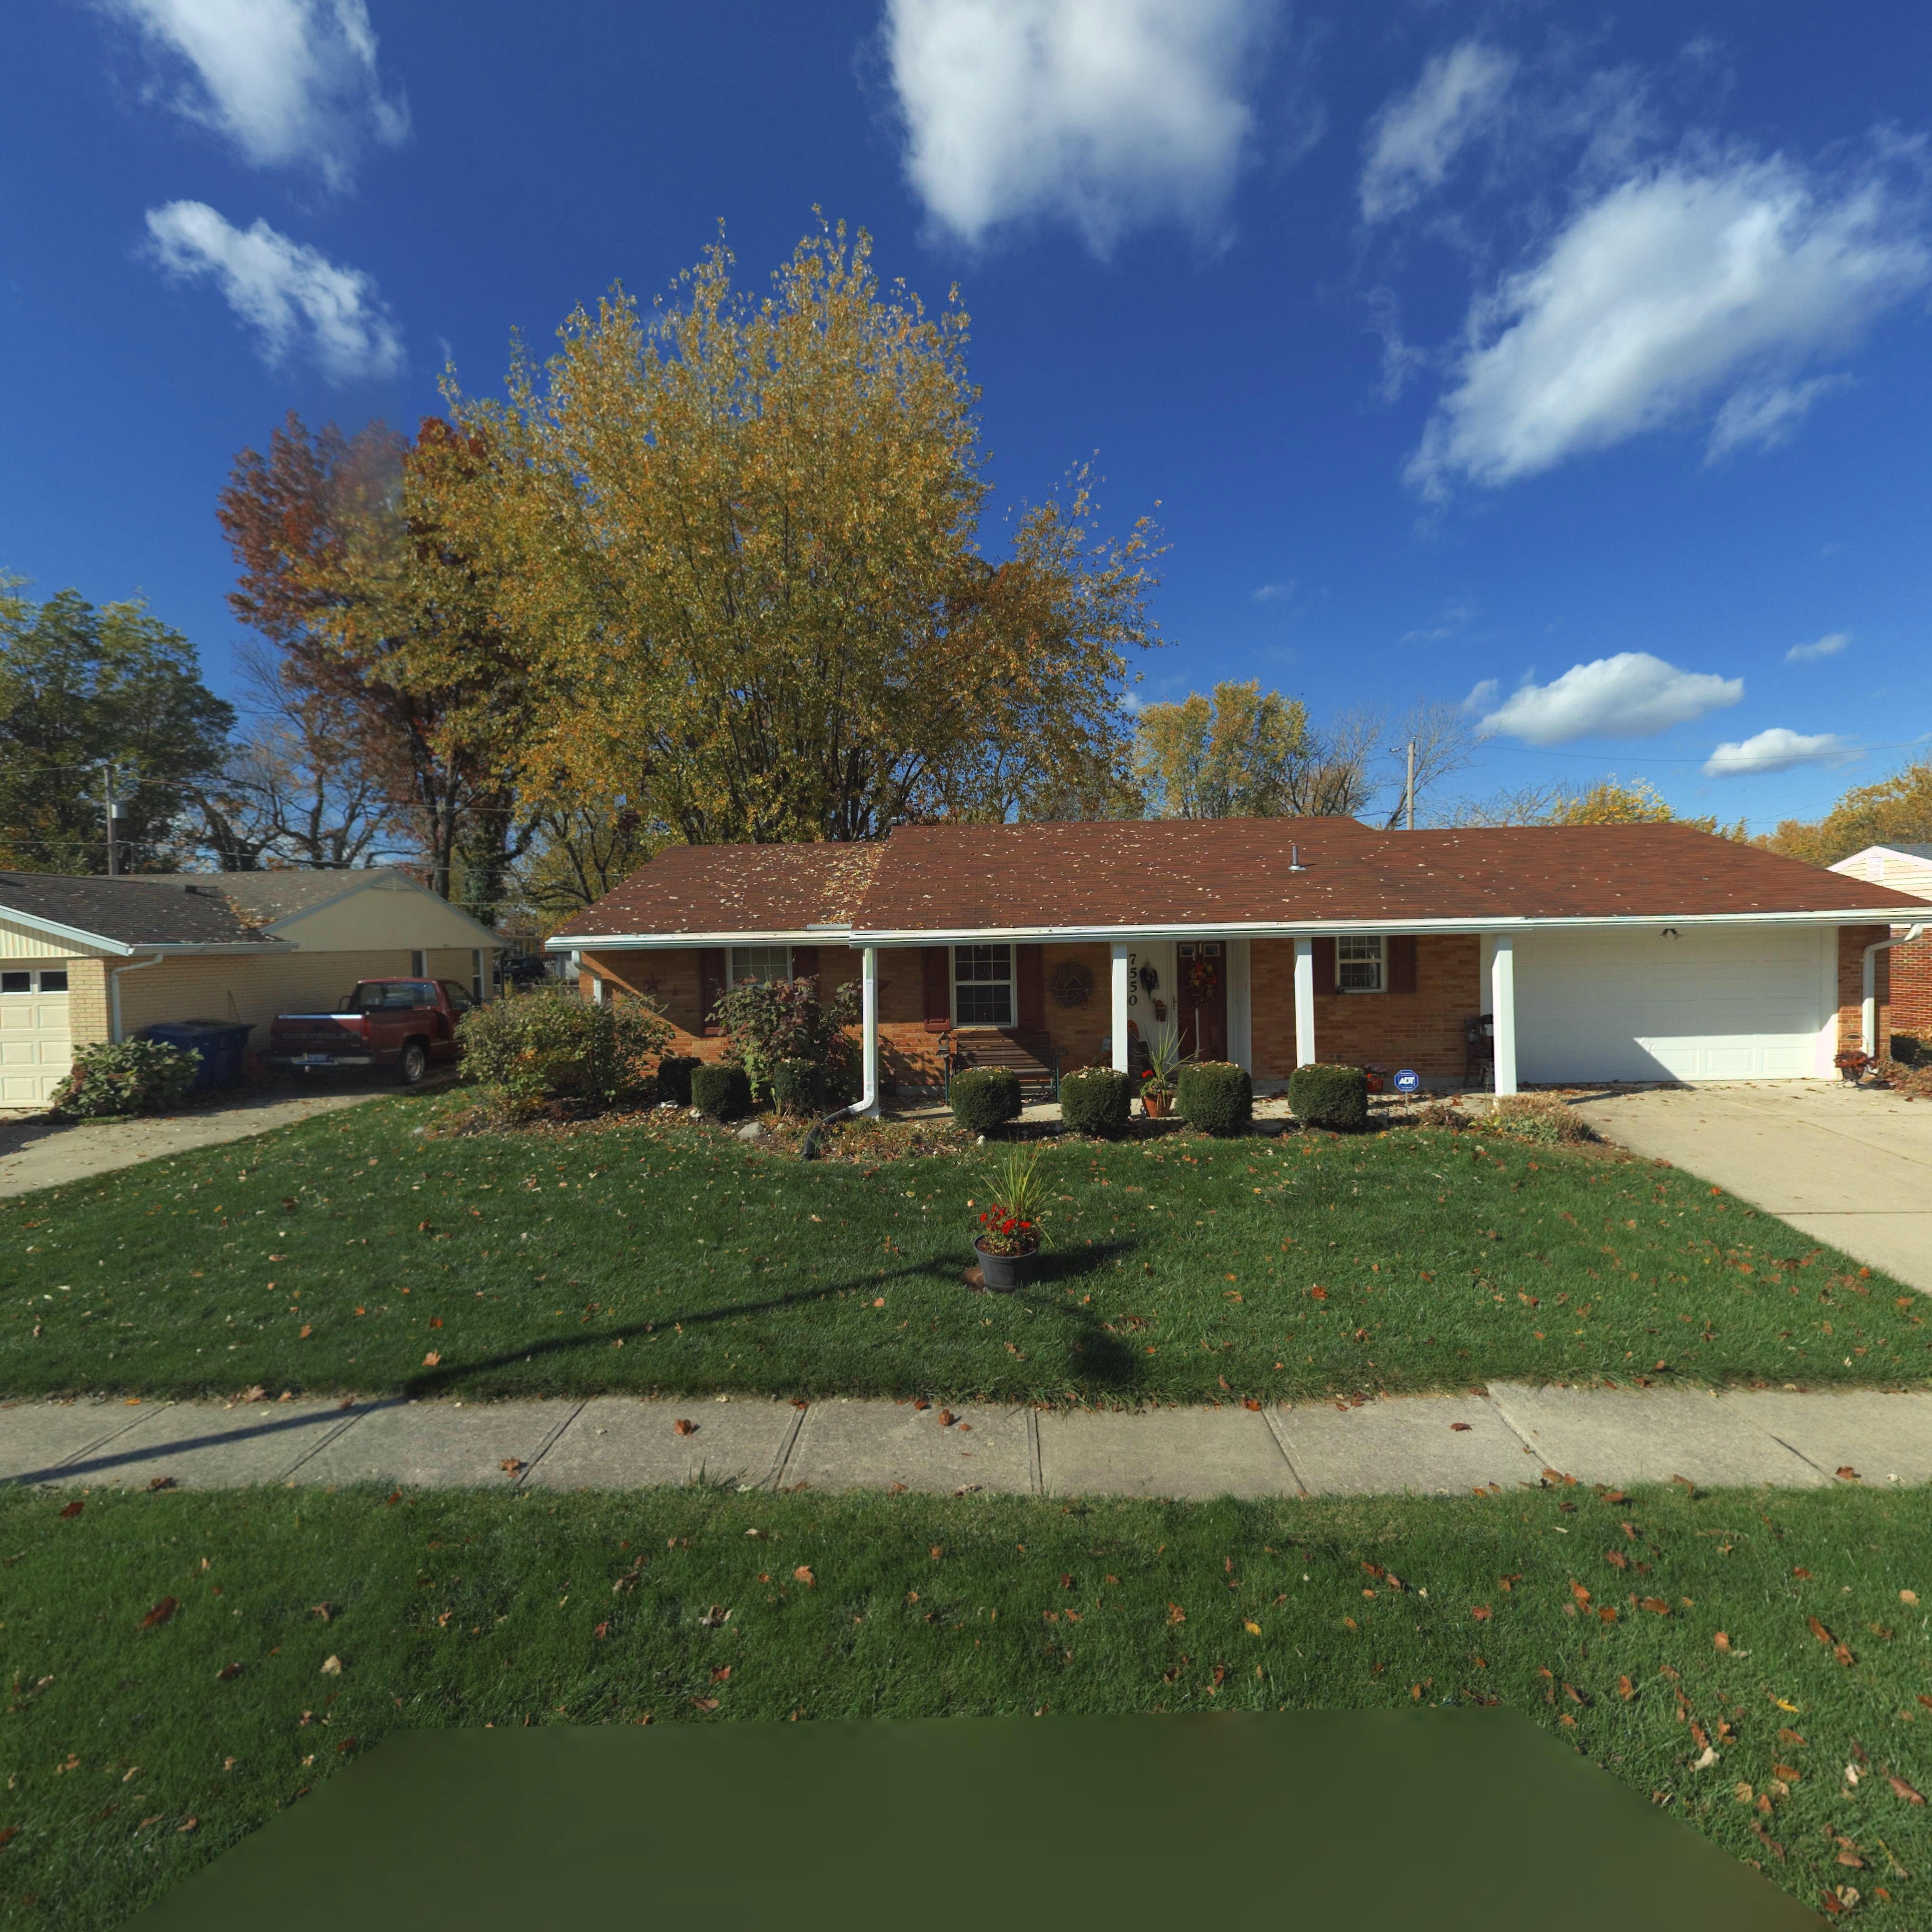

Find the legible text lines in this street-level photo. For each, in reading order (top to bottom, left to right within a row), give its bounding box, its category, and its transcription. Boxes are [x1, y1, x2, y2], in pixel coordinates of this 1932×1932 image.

[1128, 953, 1139, 1007] StreetNumber: 7550